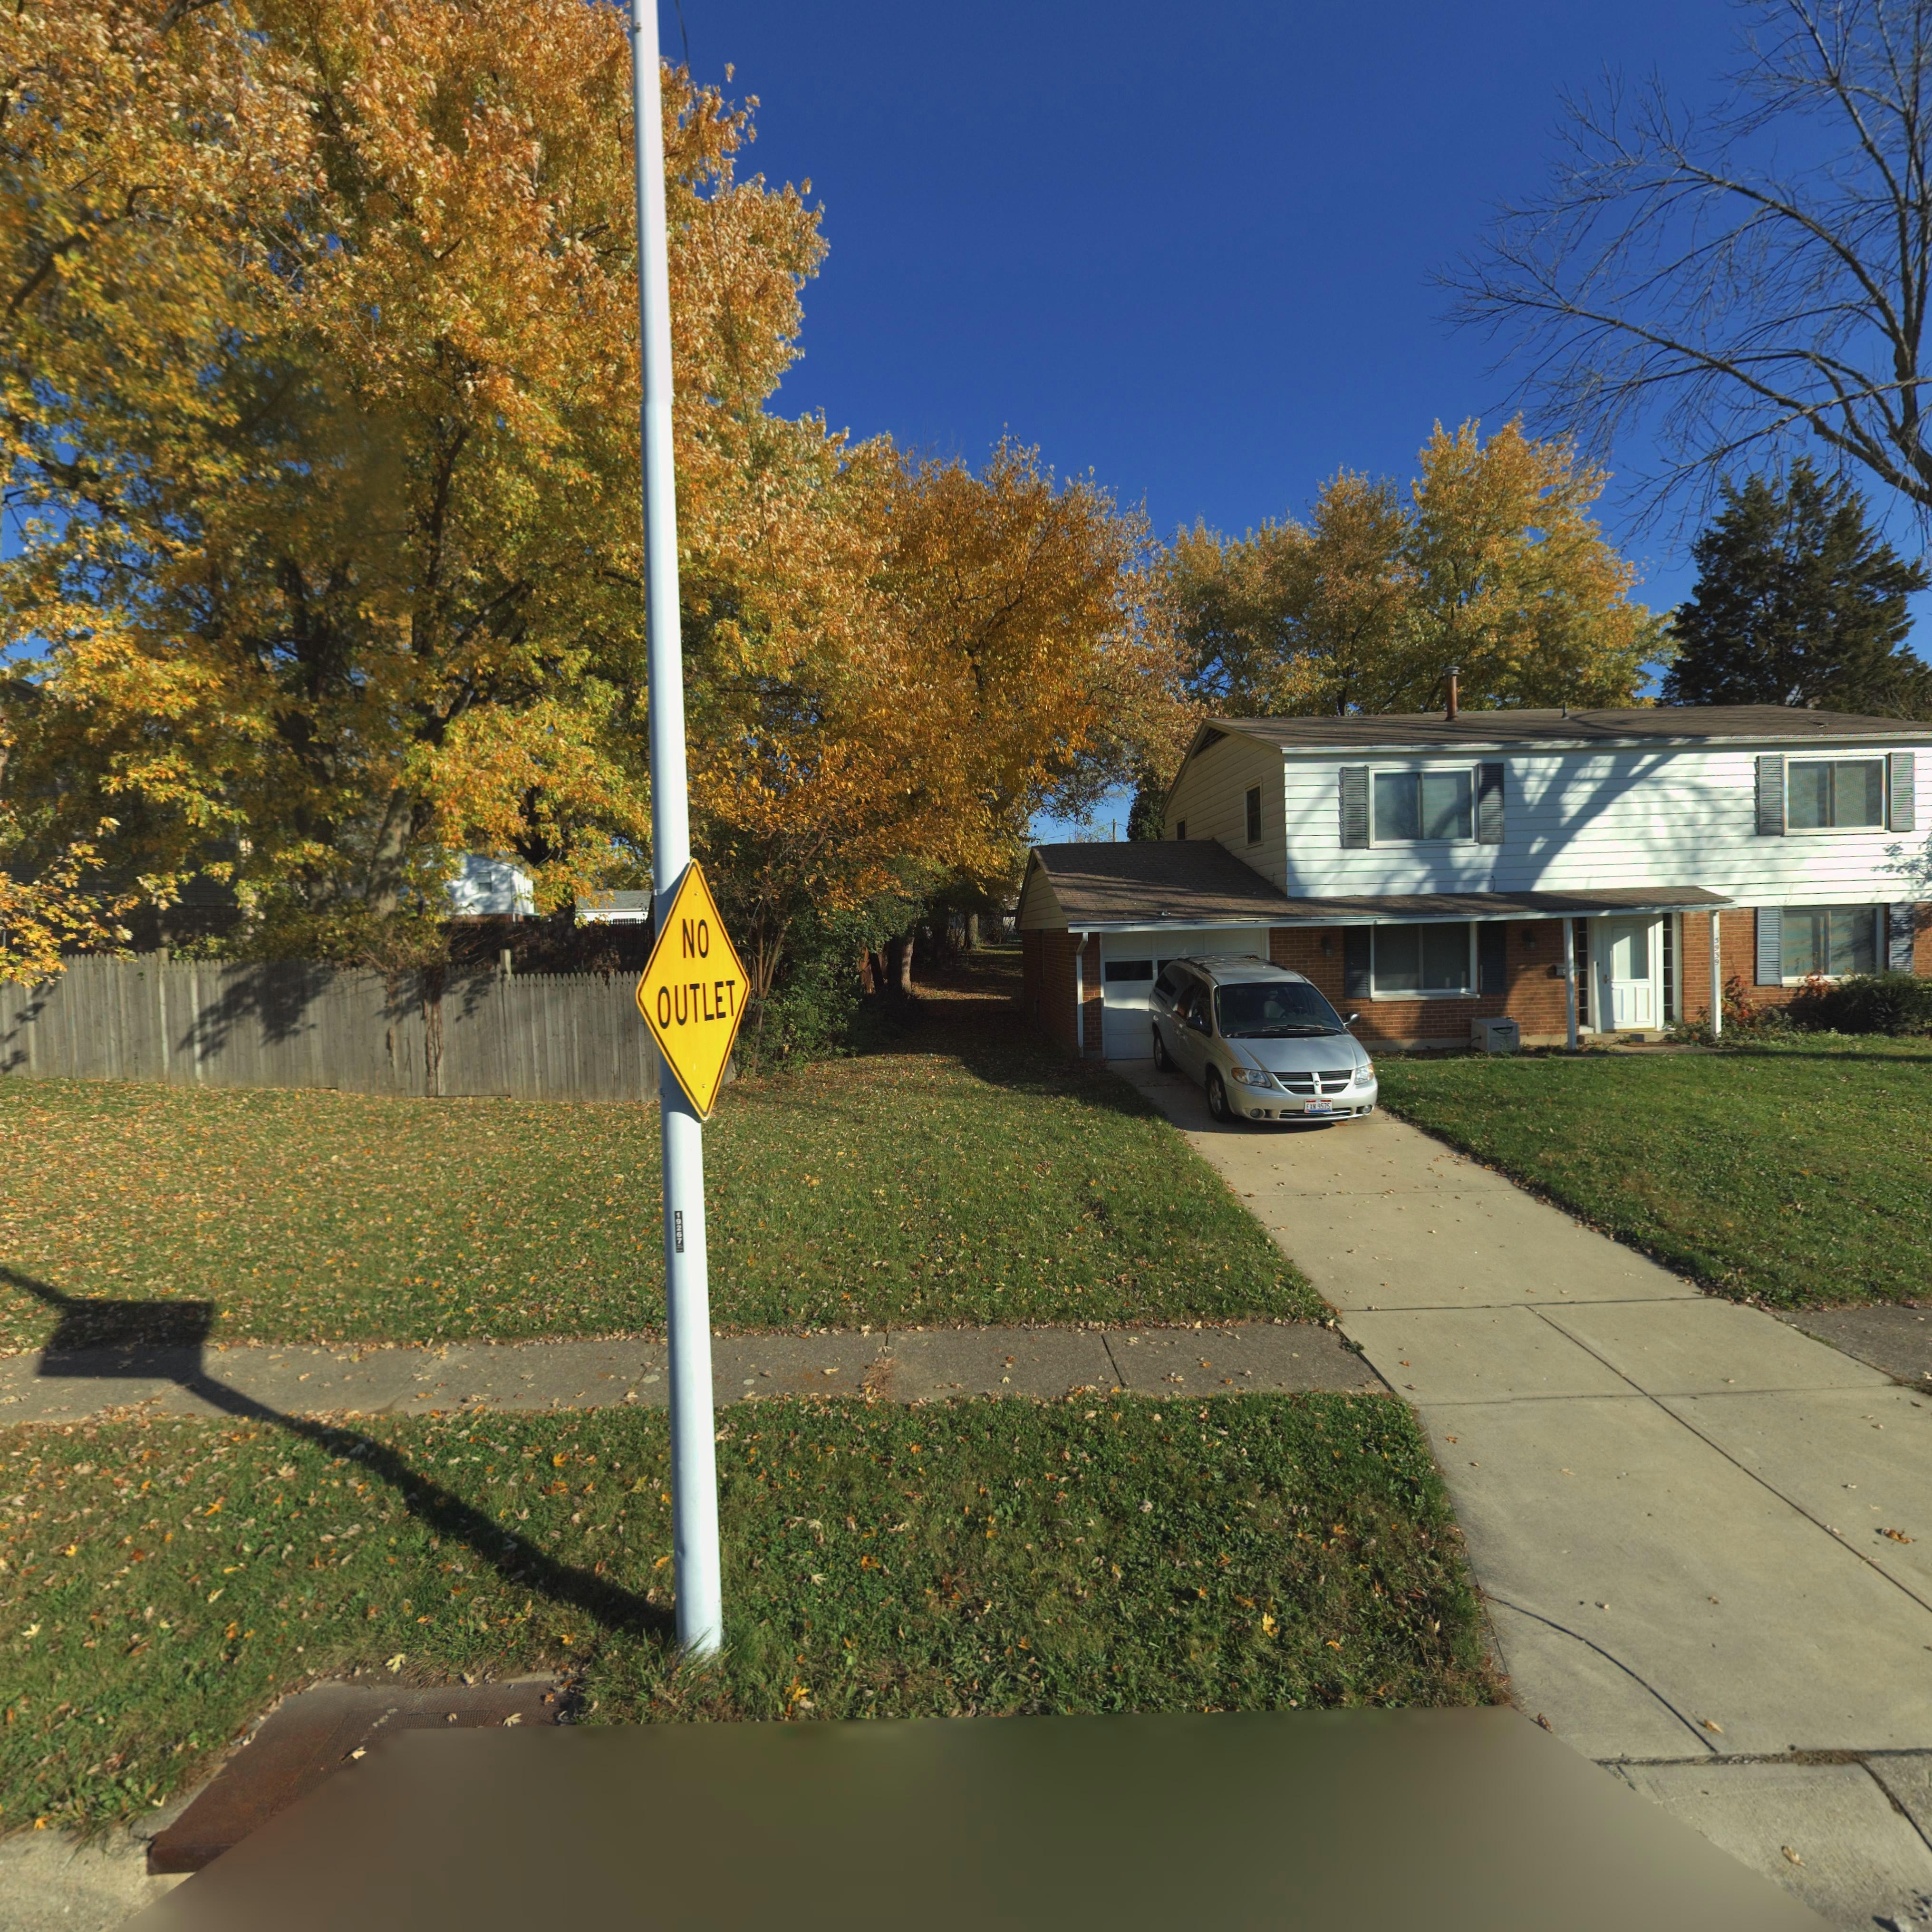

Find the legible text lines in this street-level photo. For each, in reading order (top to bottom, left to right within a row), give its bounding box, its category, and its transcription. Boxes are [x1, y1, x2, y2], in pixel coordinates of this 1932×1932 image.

[1713, 935, 1721, 967] StreetNumber: 5939